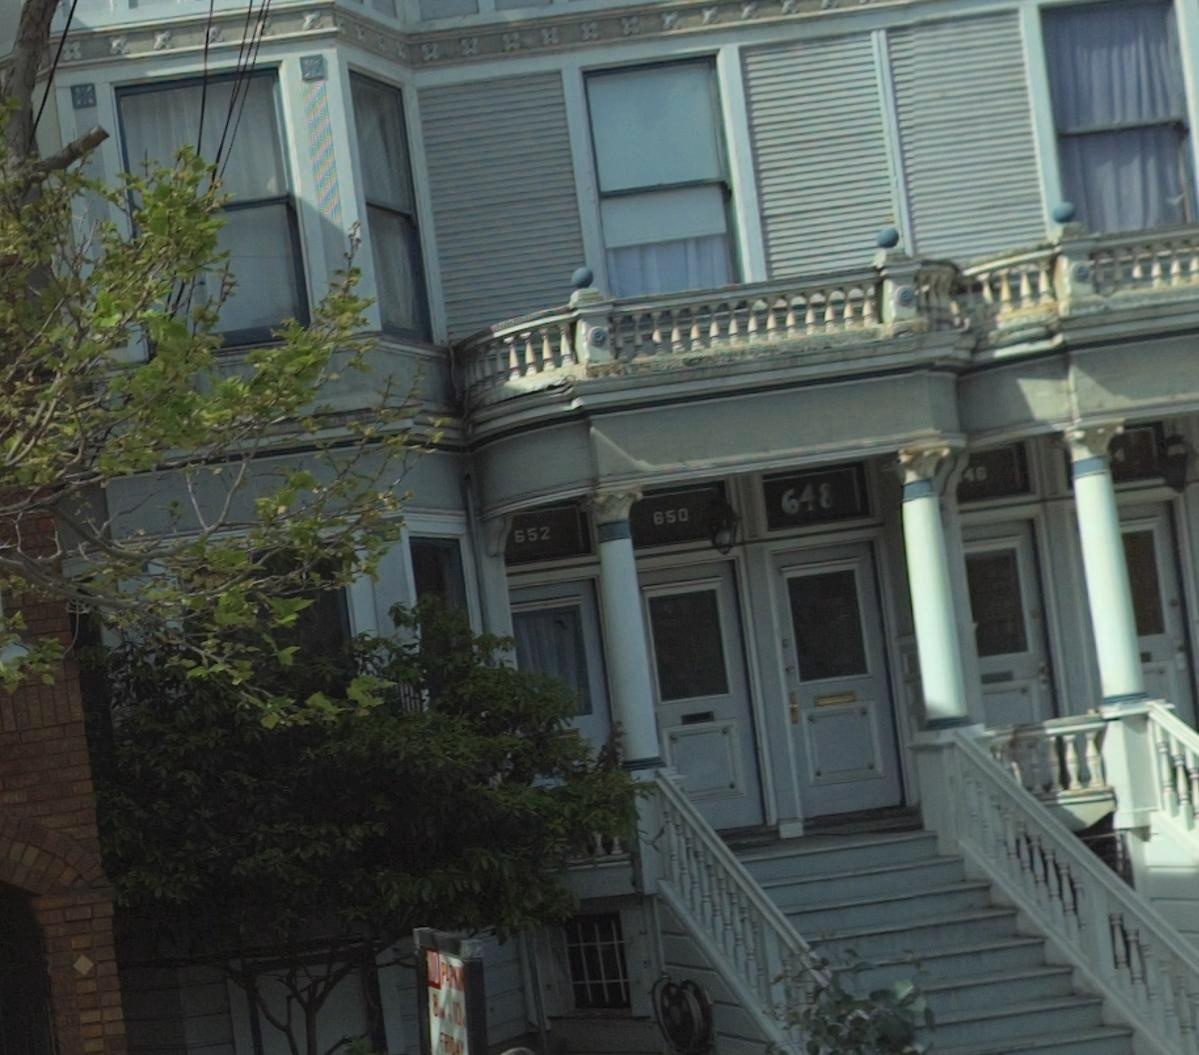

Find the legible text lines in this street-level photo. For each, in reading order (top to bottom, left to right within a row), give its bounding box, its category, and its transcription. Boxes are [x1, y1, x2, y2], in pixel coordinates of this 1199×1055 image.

[1090, 444, 1127, 467] StreetNumber: **4
[948, 464, 989, 487] StreetNumber: *46
[779, 478, 835, 518] StreetNumber: 648
[650, 506, 691, 528] StreetNumber: 650
[511, 524, 553, 546] StreetNumber: 652
[426, 949, 440, 989] None: NO
[439, 959, 467, 996] None: PARKIN*
[432, 990, 440, 1020] None: 8
[450, 1000, 464, 1030] None: 10
[438, 1028, 467, 1055] None: FRIDA*